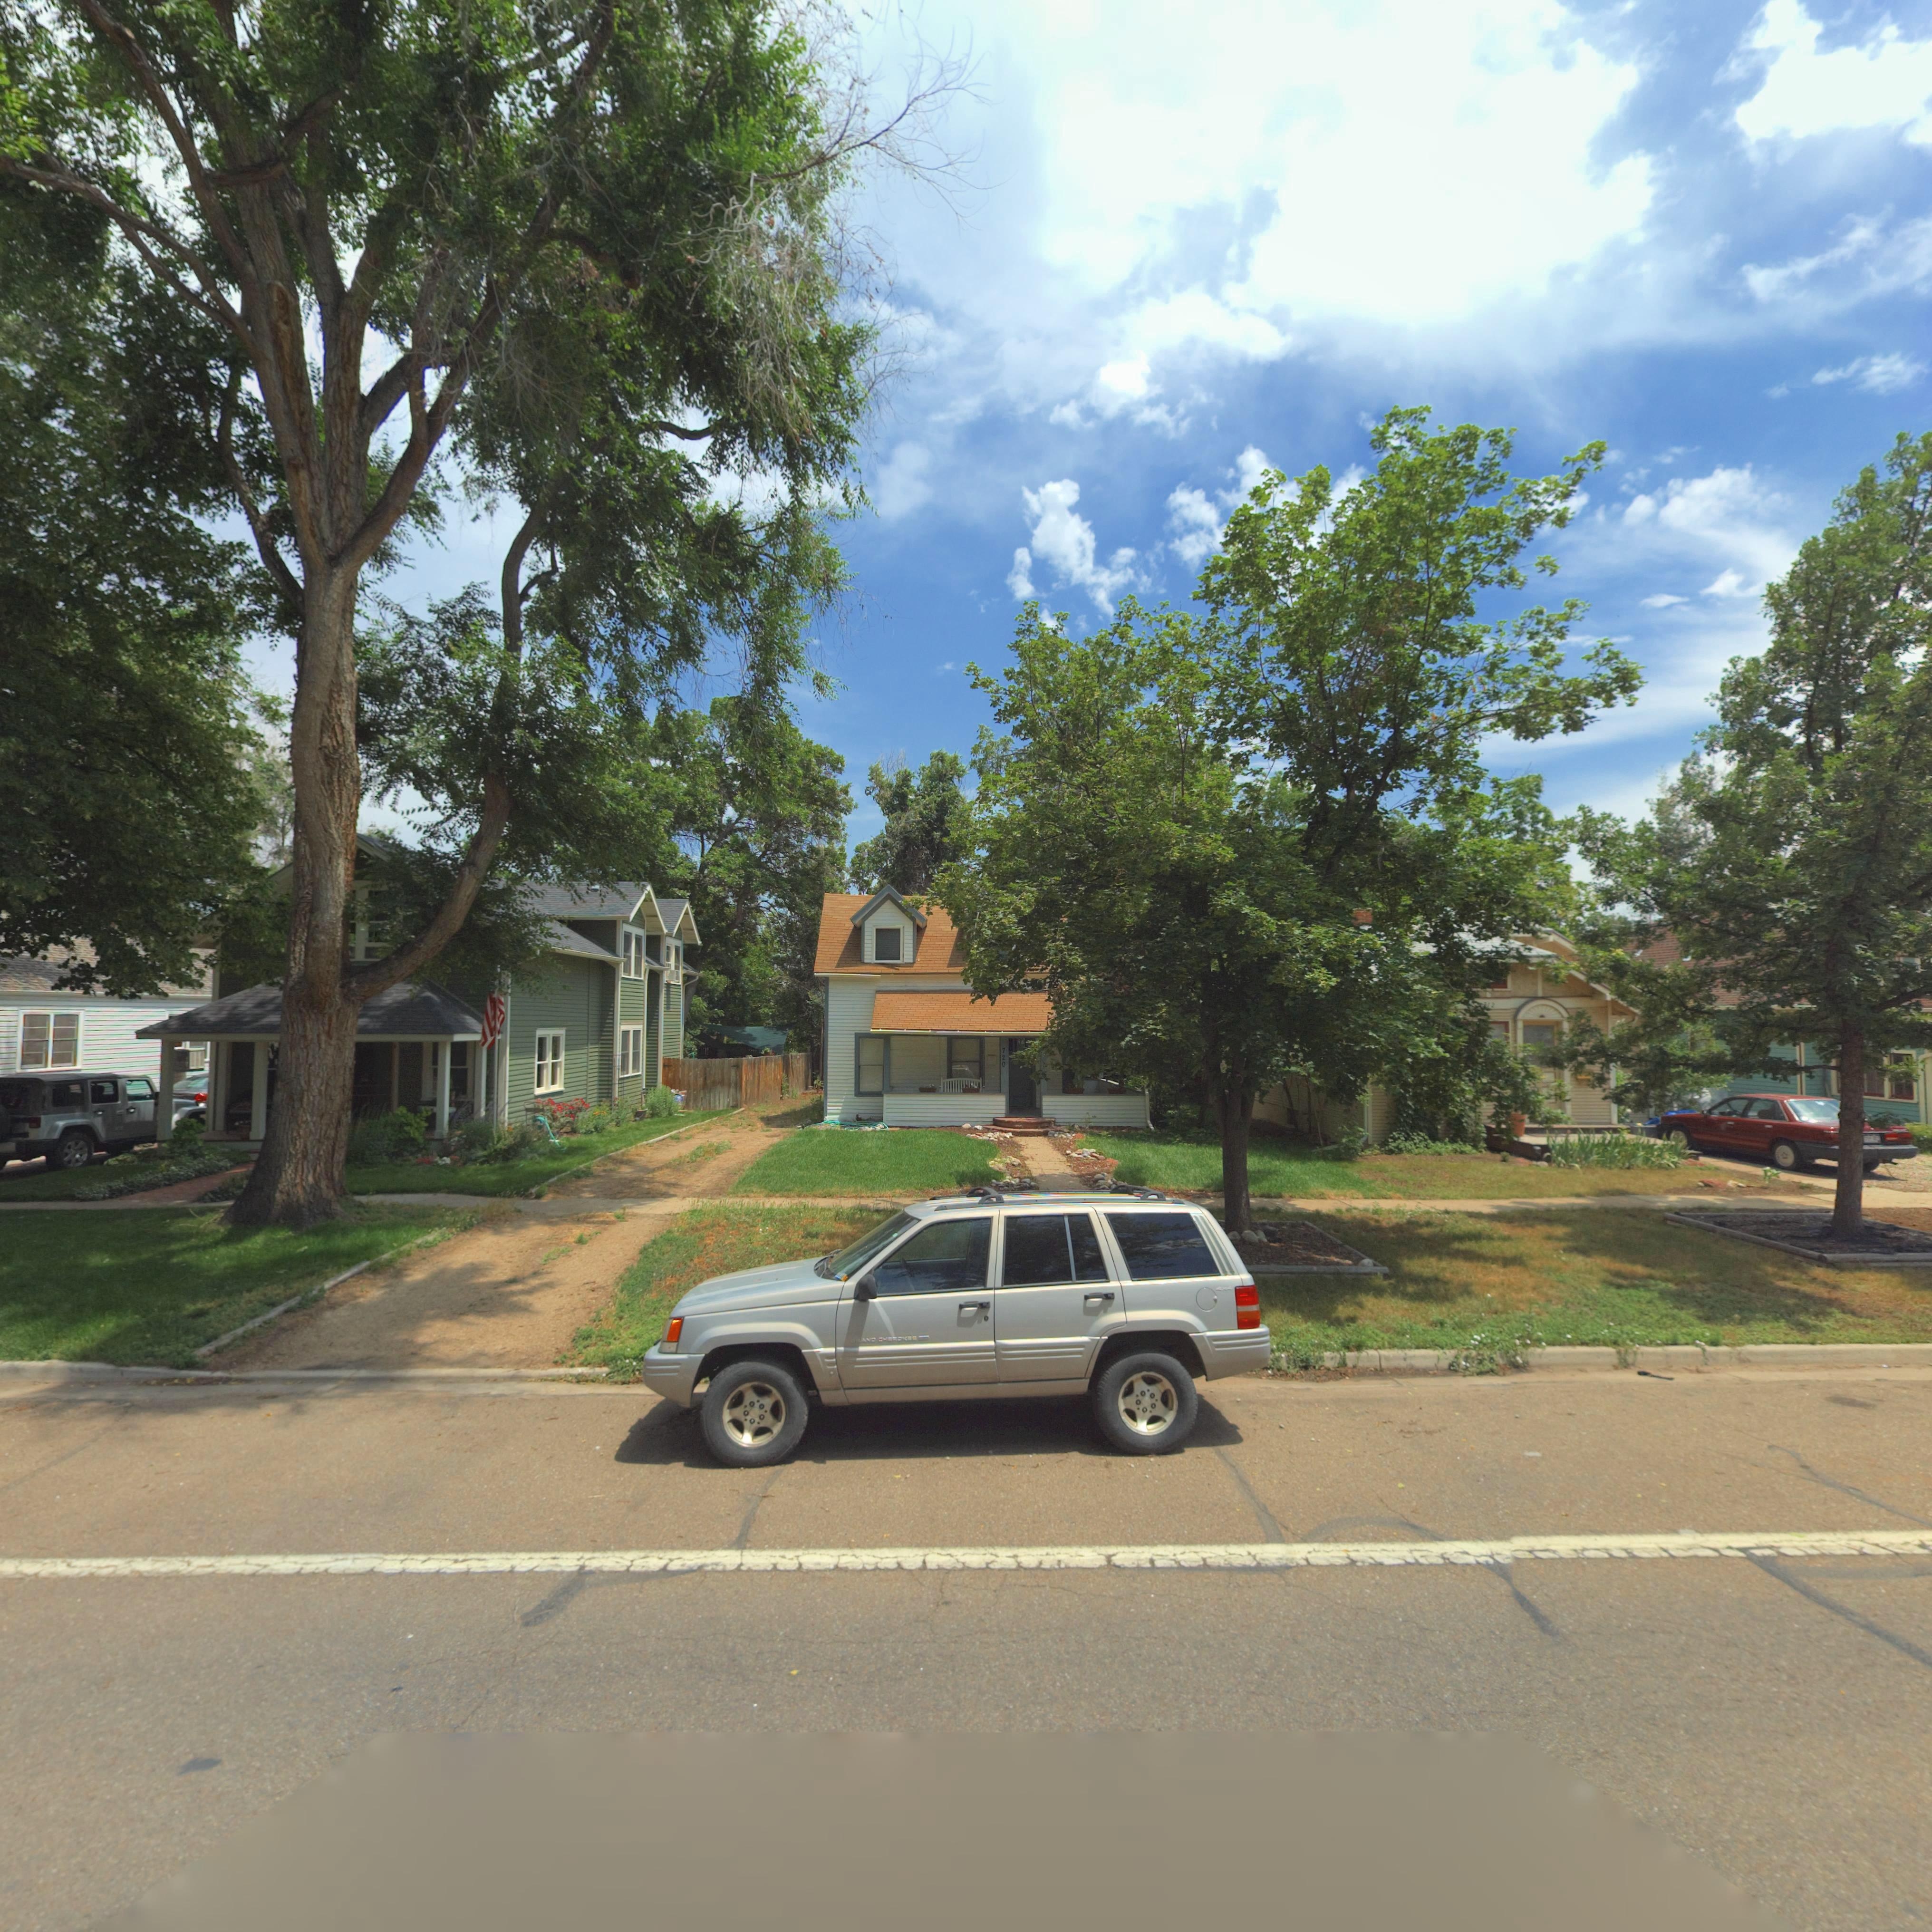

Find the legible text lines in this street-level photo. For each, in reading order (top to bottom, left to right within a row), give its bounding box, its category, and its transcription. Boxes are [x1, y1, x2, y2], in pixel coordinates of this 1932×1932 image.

[1002, 1047, 1005, 1067] StreetNumber: 720